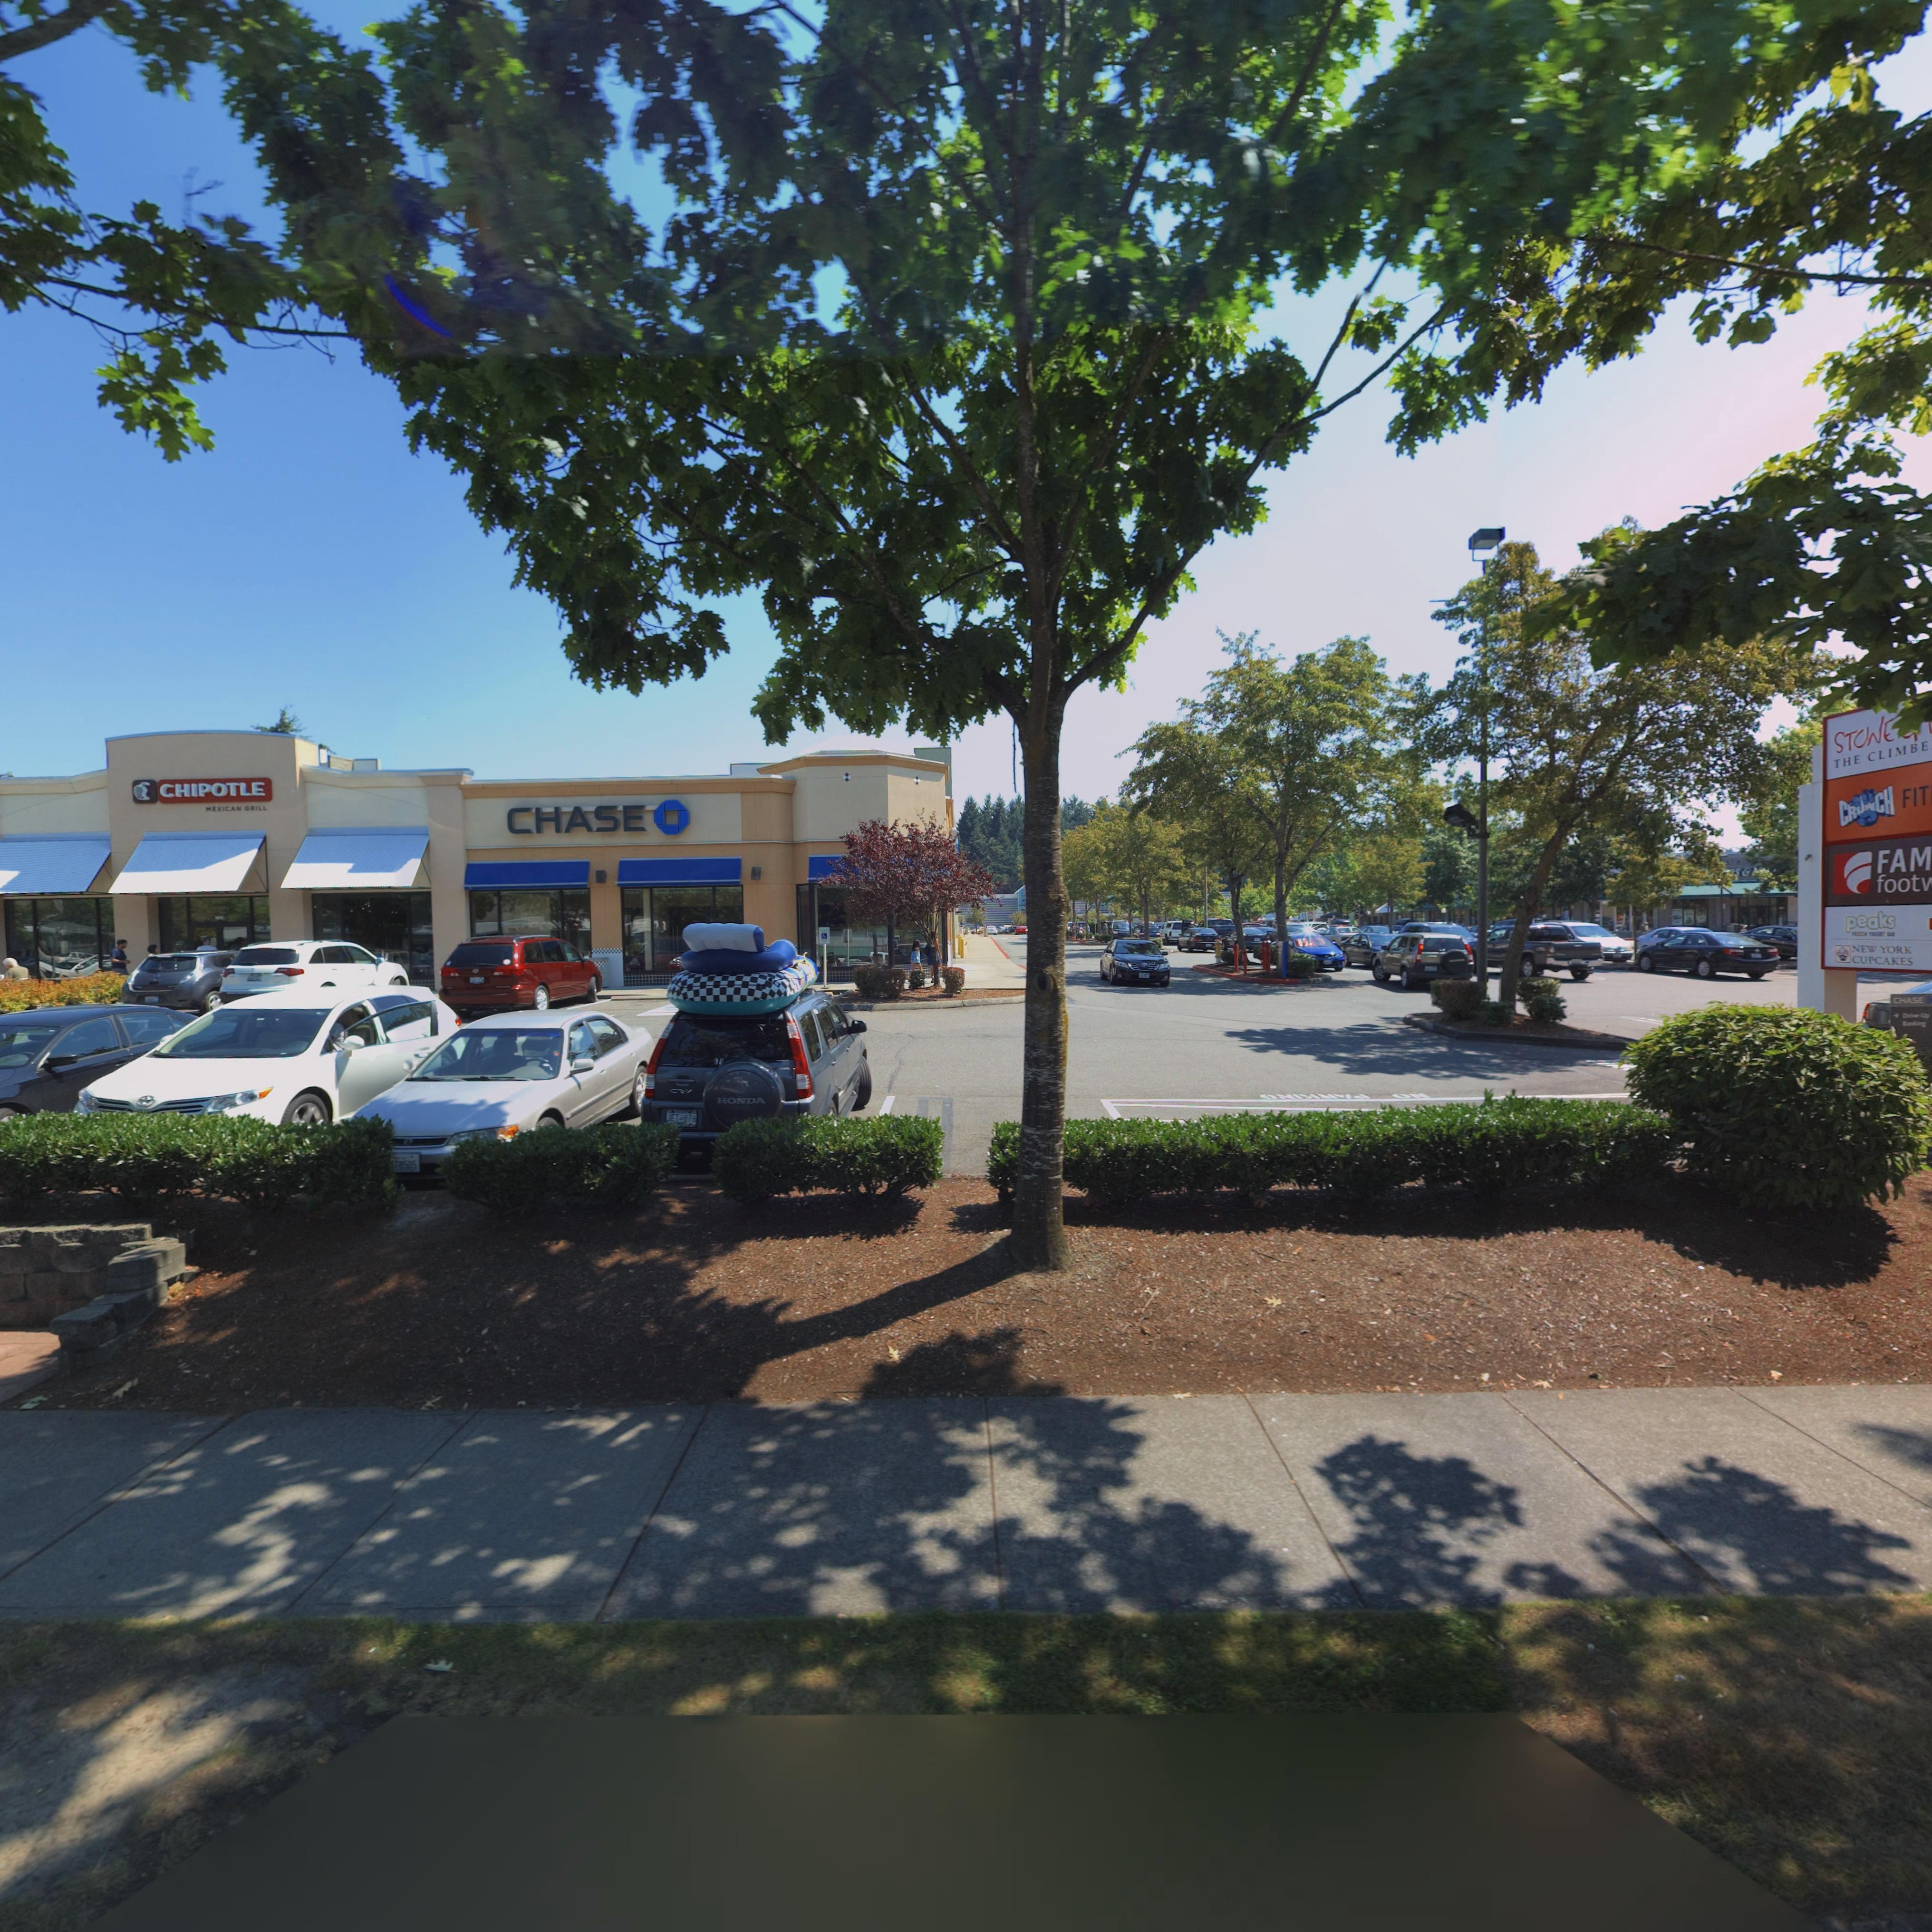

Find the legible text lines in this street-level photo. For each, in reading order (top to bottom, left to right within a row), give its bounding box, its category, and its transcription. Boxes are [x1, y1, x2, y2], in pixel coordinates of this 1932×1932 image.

[1833, 713, 1897, 753] BusinessName: STOWE
[159, 782, 266, 797] BusinessName: CHIPOTLE
[506, 803, 648, 833] BusinessName: CHASE
[1876, 844, 1932, 873] BusinessName: FAM
[1876, 873, 1921, 893] BusinessName: foot
[1845, 910, 1897, 933] BusinessName: peaks
[1852, 944, 1913, 955] BusinessName: NEW YORK
[1852, 955, 1913, 966] BusinessName: CUPCAKES
[1893, 997, 1924, 1004] BusinessName: CHASE